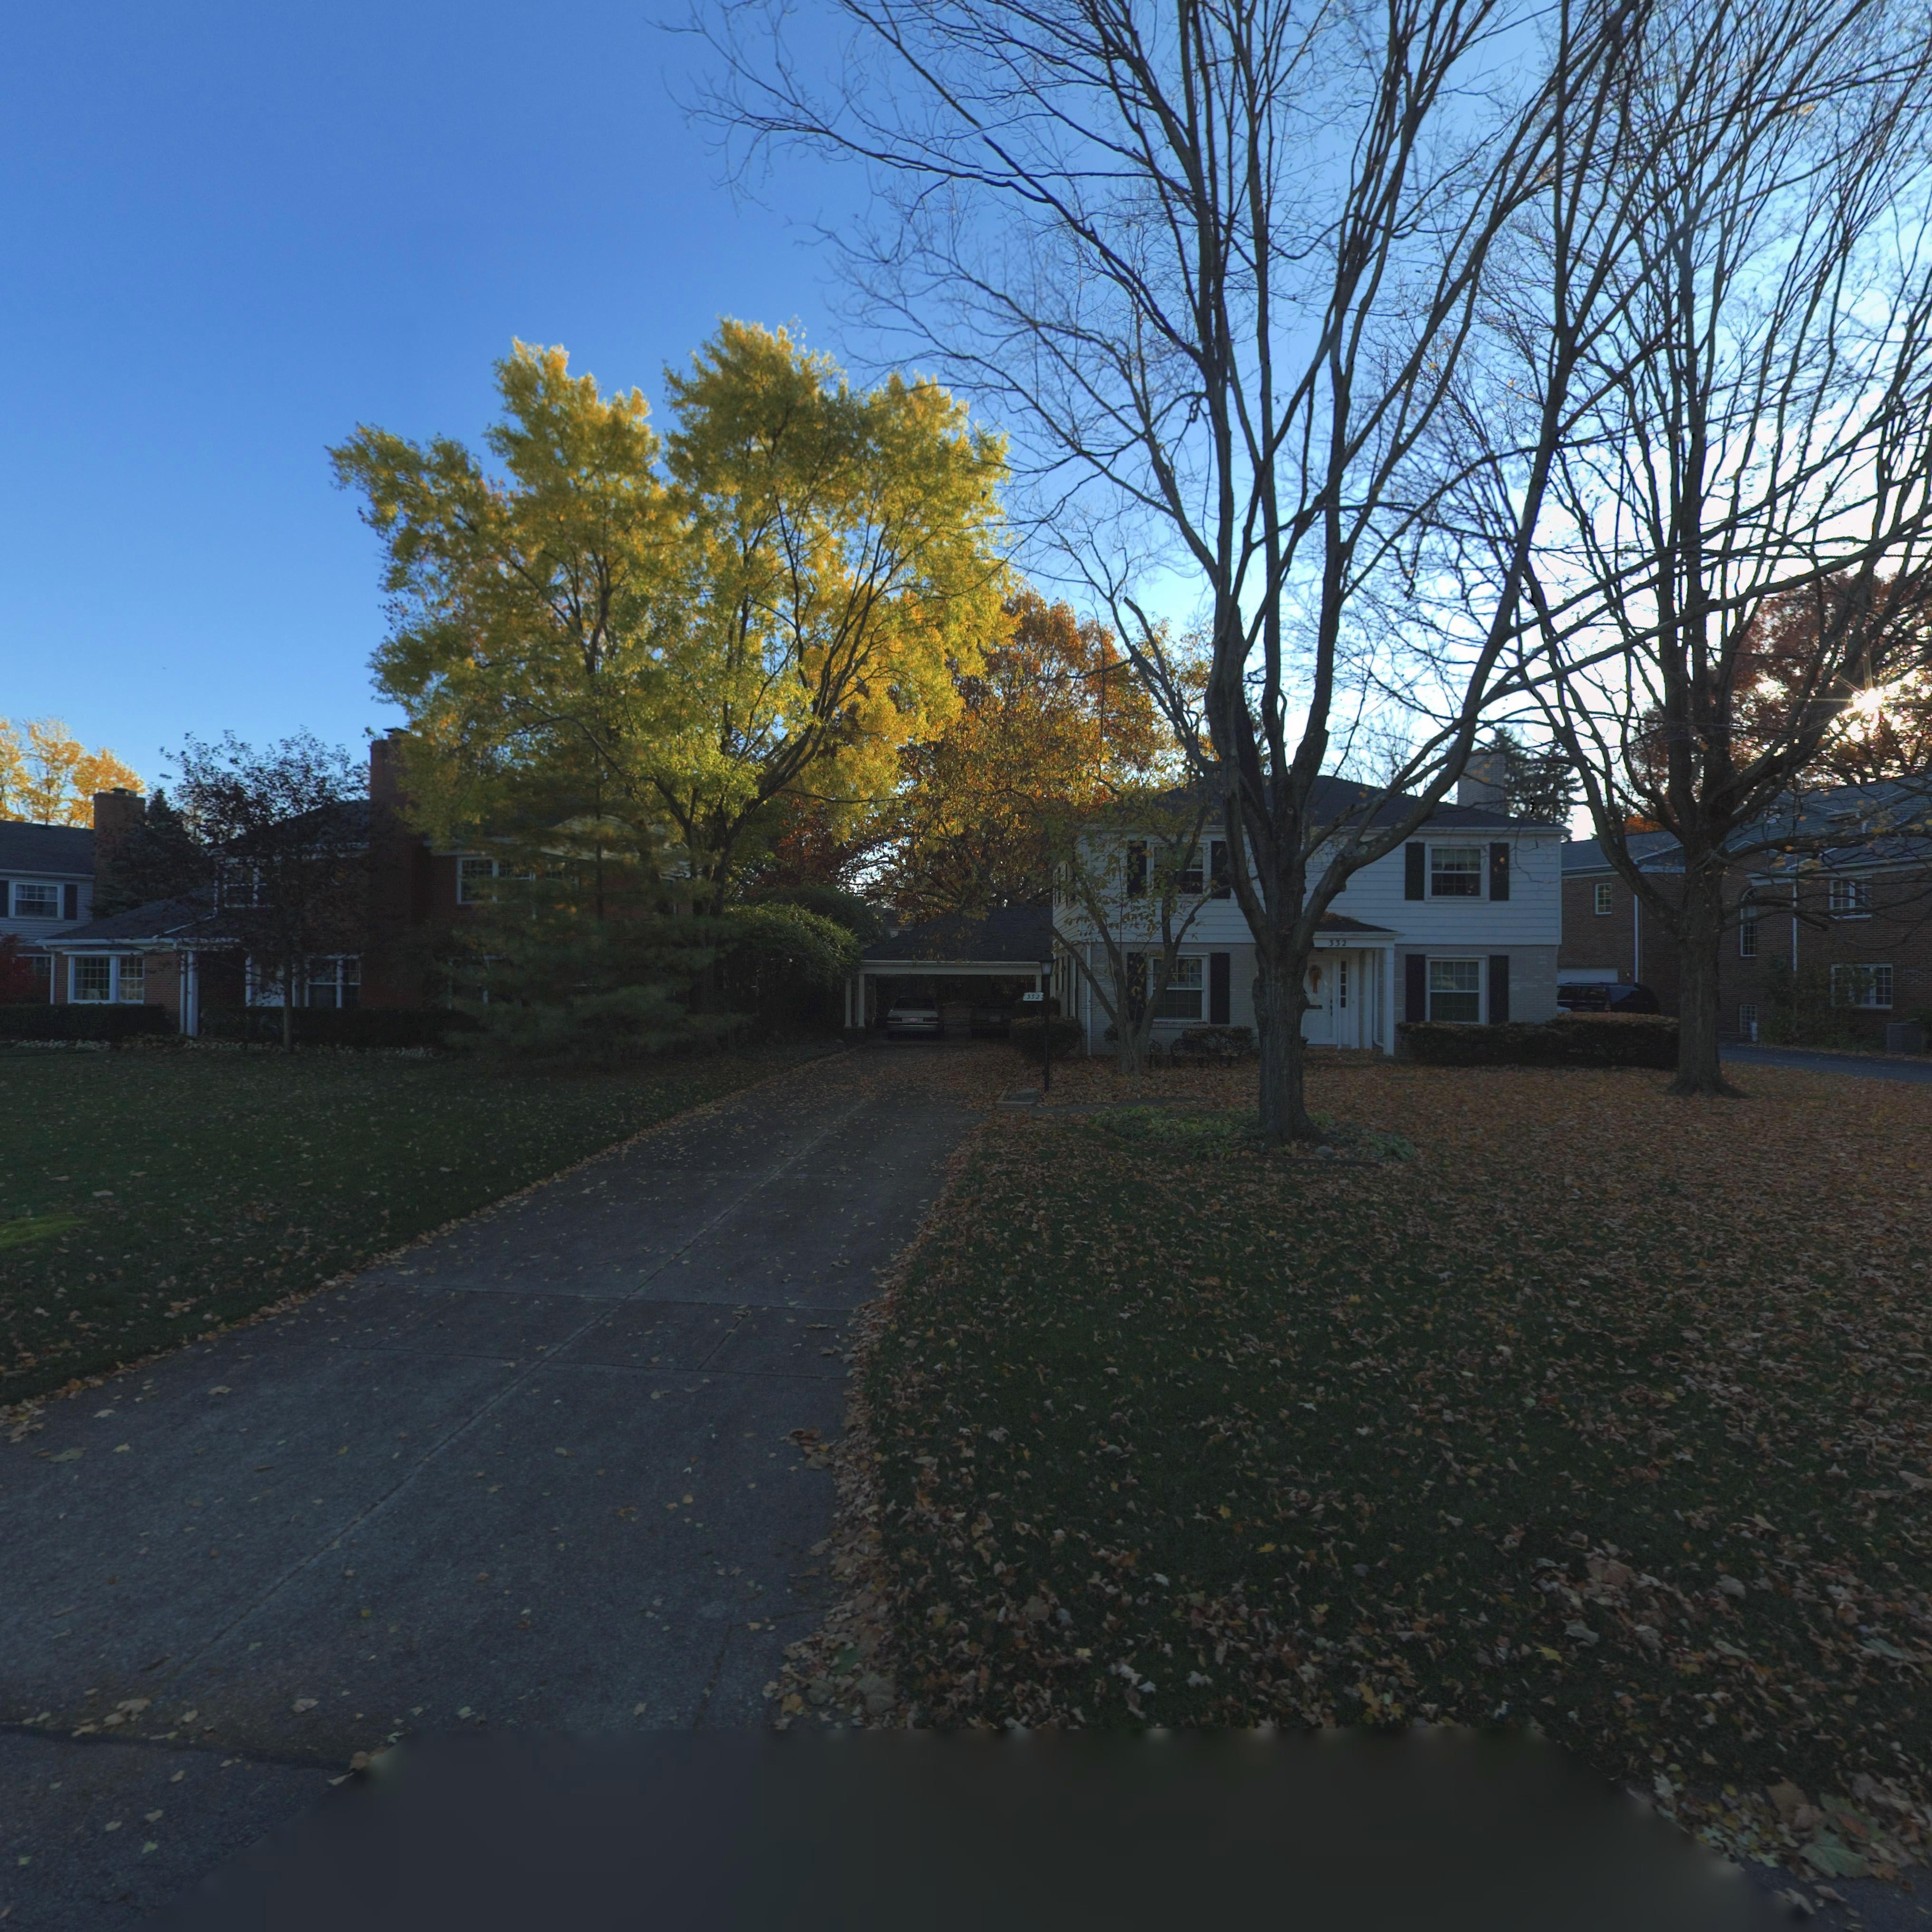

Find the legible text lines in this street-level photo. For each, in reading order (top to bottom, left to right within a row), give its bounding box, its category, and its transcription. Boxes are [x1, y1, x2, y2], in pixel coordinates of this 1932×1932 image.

[1328, 938, 1348, 947] StreetNumber: 332
[1025, 993, 1041, 1000] StreetNumber: 332